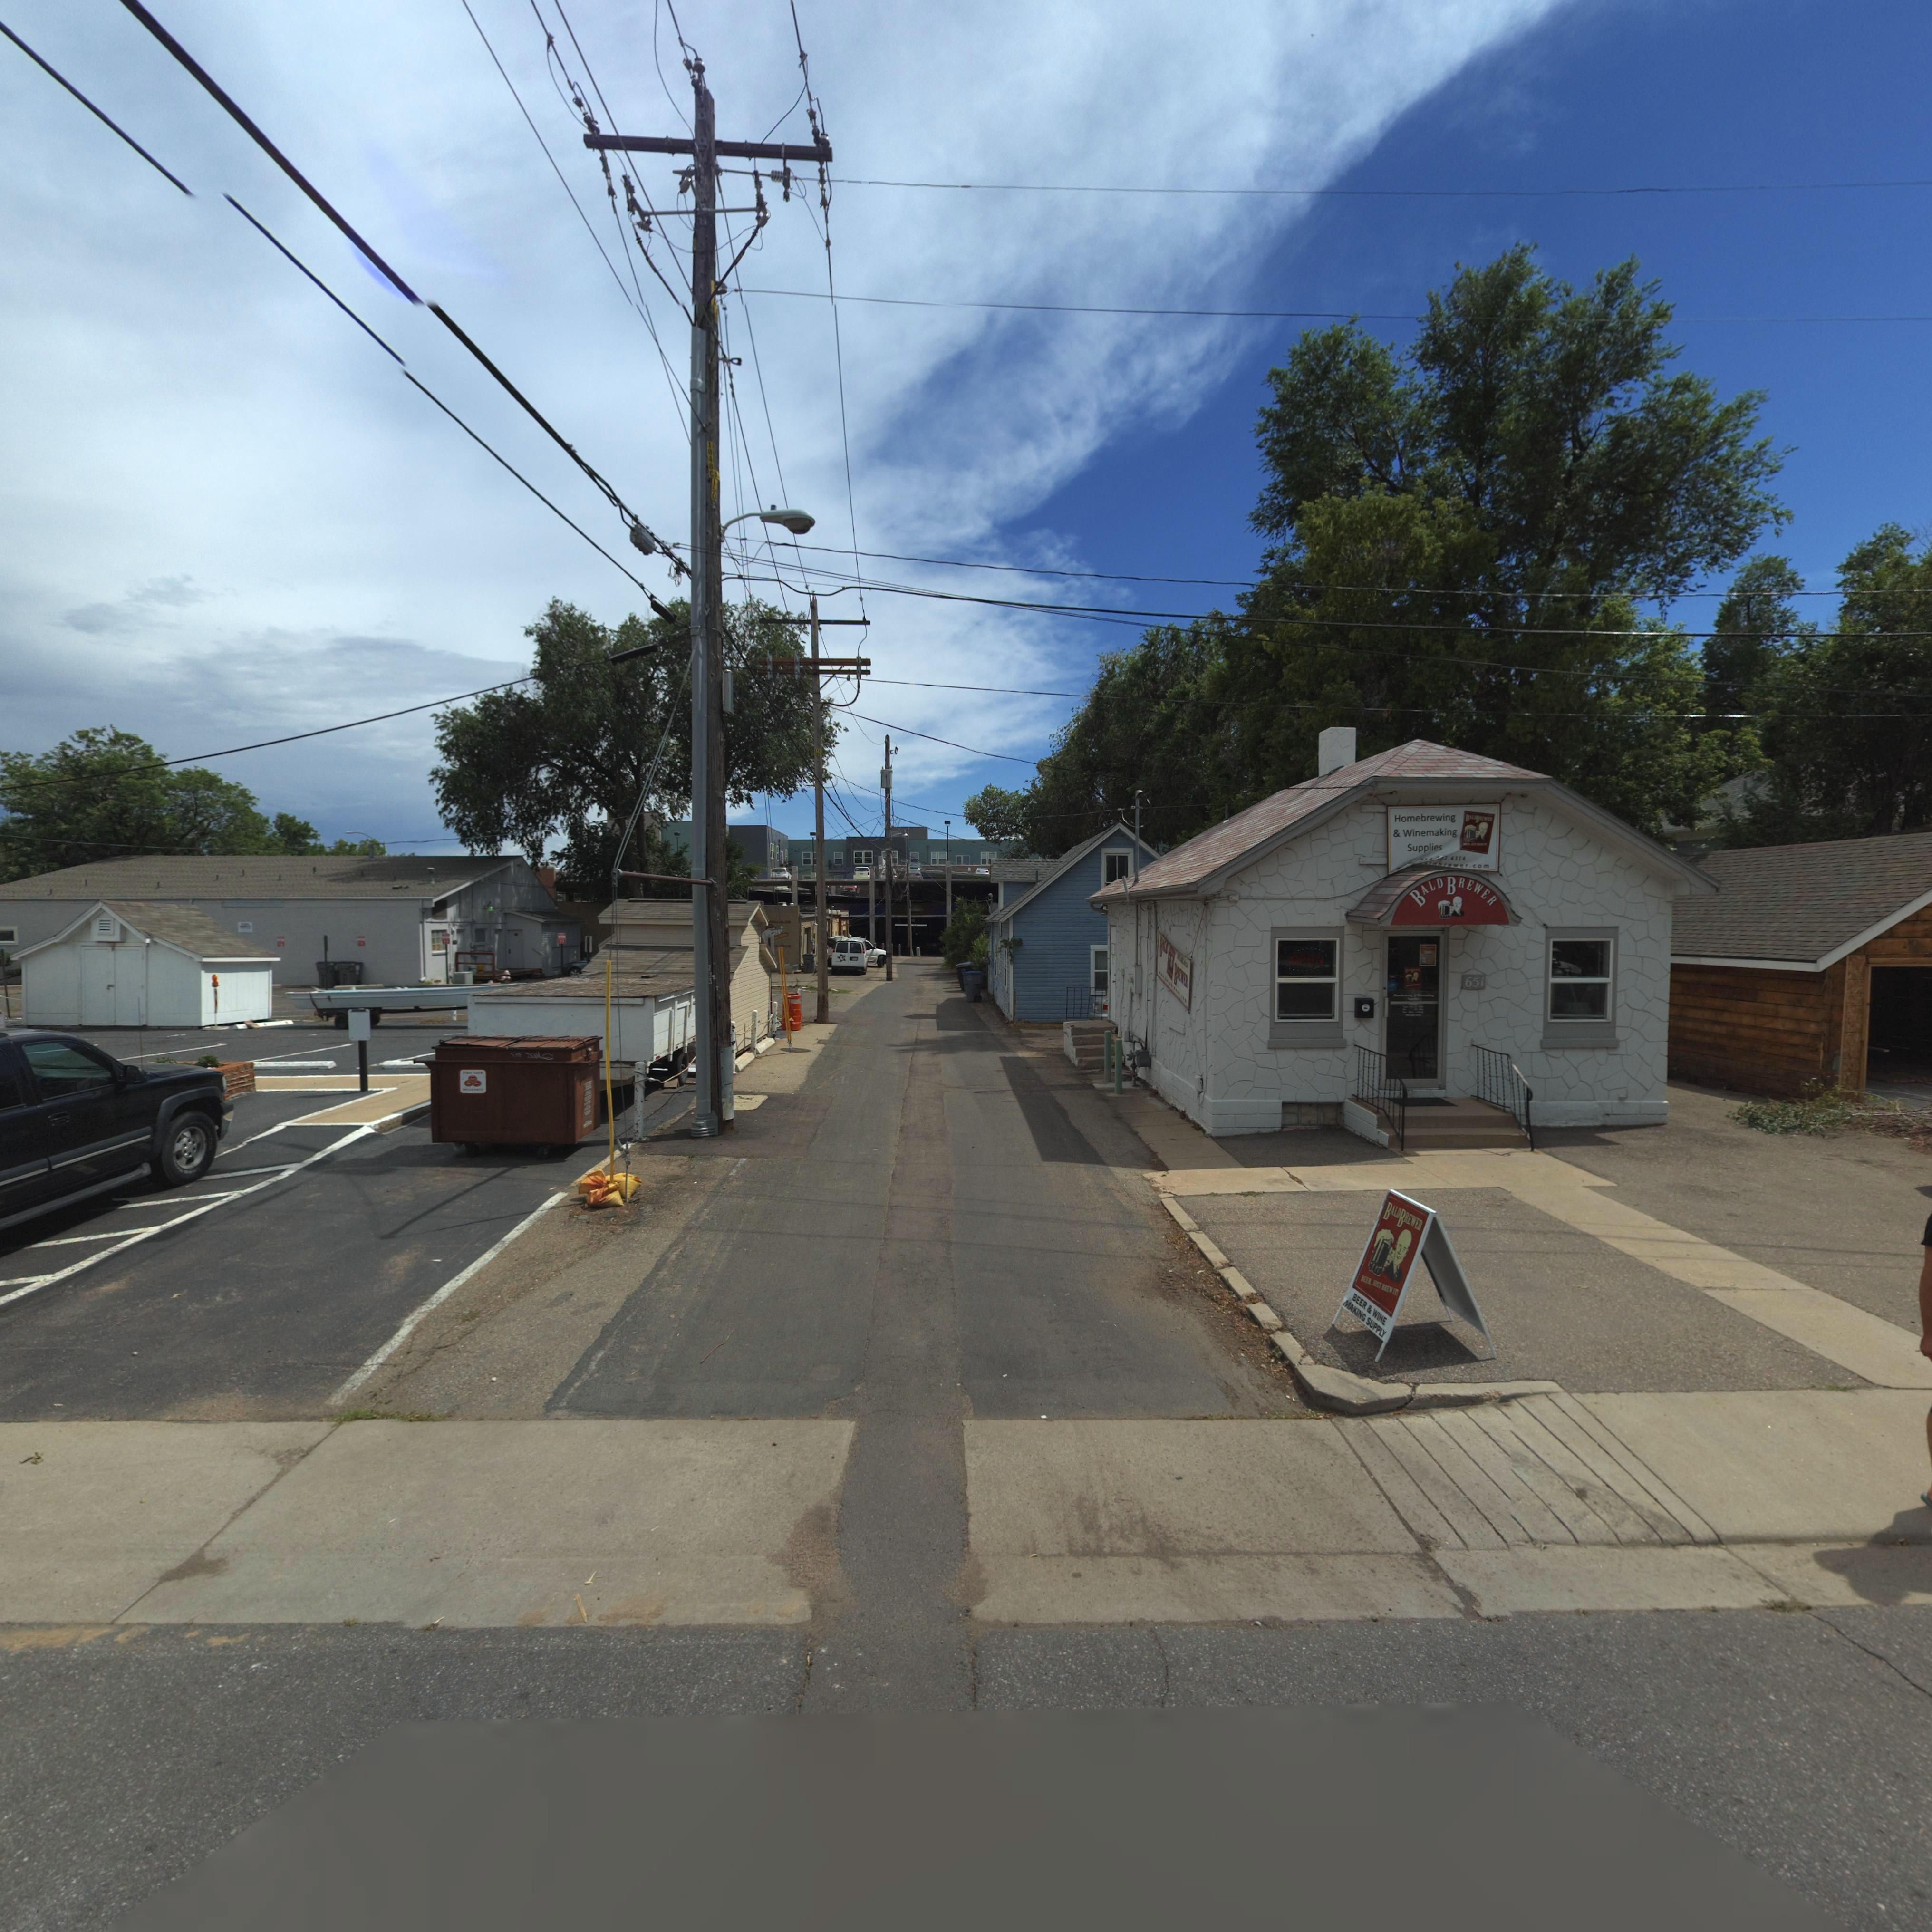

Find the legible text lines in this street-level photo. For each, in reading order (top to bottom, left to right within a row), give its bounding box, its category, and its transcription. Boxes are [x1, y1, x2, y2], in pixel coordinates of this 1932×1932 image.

[1465, 814, 1493, 823] BusinessName: BALDBREWER
[1408, 876, 1497, 908] BusinessName: BALD BREWER
[1159, 935, 1169, 957] BusinessName: BALD
[1173, 961, 1188, 989] BusinessName: BREWER
[1465, 976, 1485, 988] StreetNumber: 651